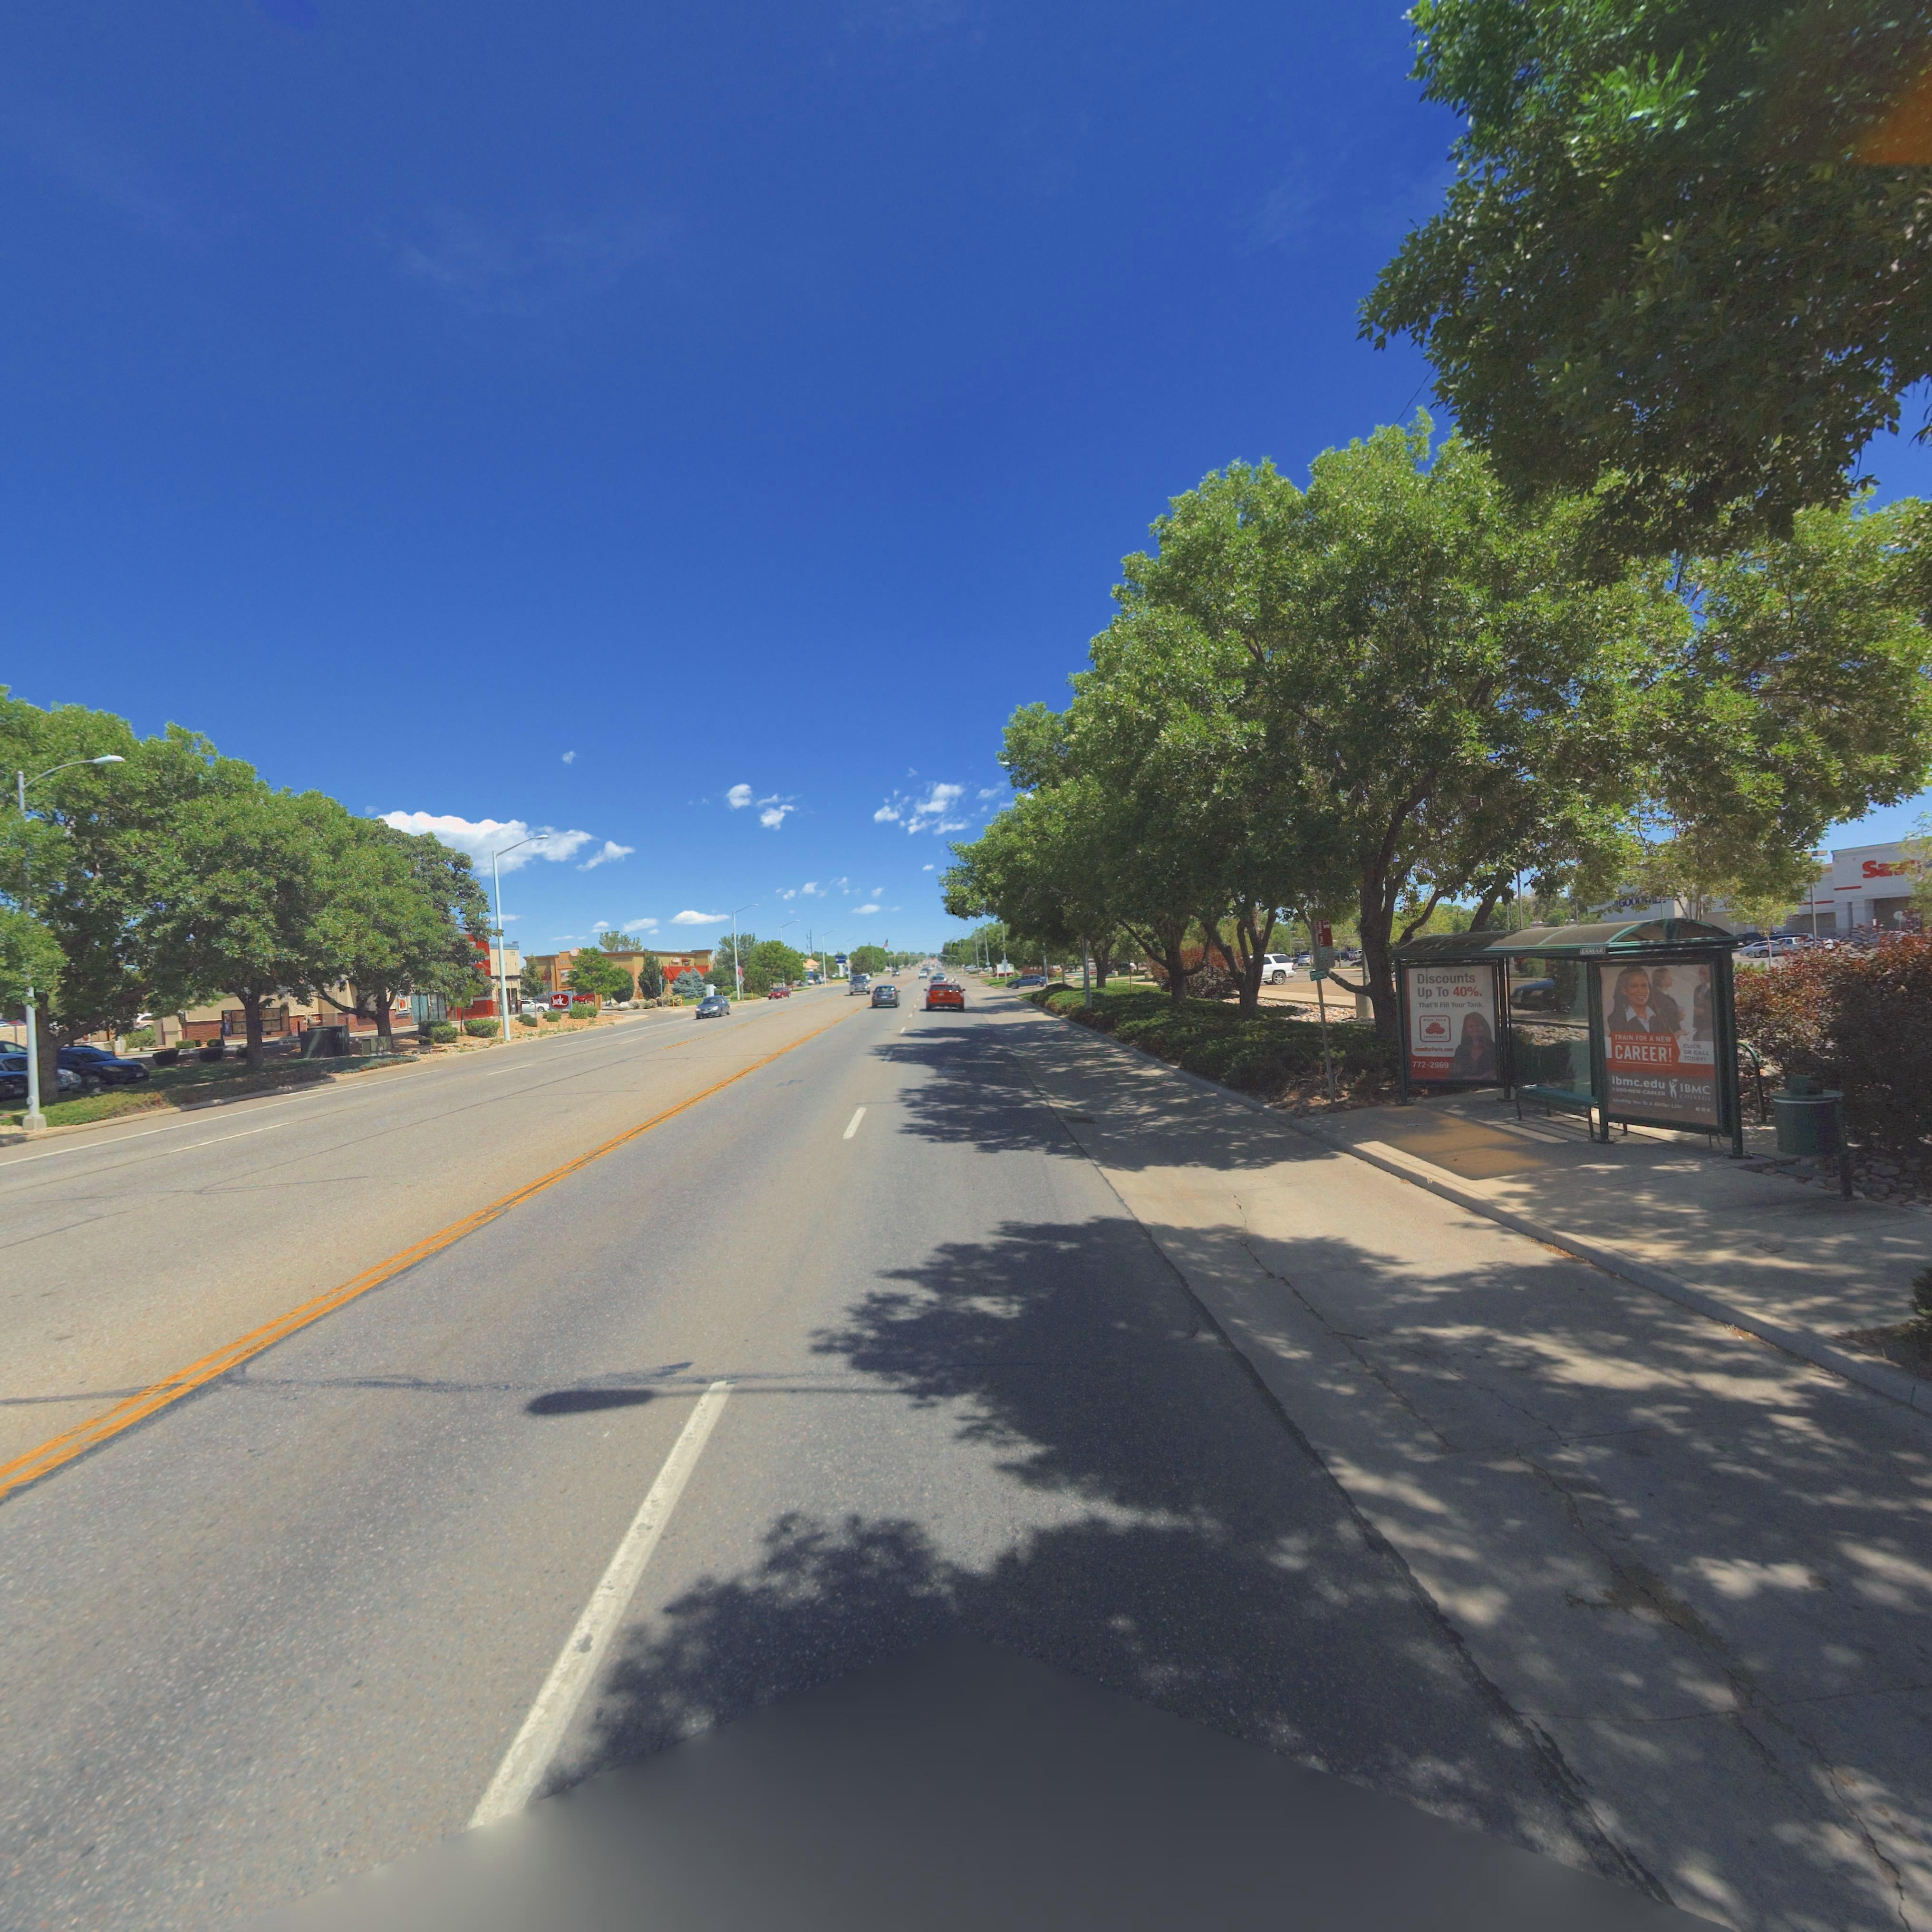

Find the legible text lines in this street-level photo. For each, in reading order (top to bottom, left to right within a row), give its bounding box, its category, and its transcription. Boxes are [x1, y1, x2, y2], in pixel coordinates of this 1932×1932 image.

[1861, 860, 1907, 879] BusinessName: S**
[1618, 894, 1666, 908] BusinessName: GOO*****
[551, 994, 568, 1006] BusinessName: J*ck